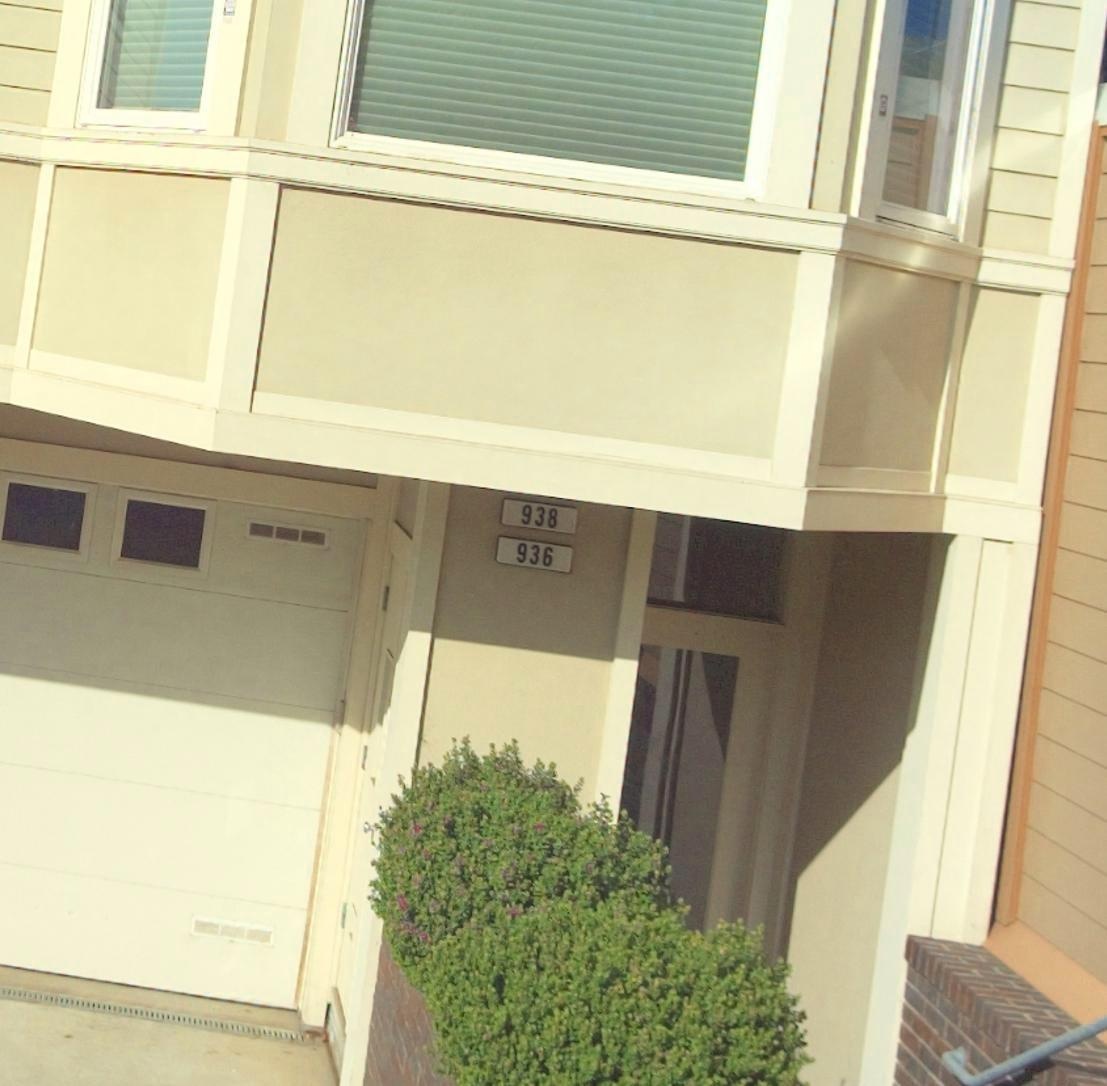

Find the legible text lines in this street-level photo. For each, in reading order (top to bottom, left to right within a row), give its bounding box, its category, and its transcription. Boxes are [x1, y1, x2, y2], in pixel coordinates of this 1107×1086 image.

[519, 503, 558, 530] StreetNumber: 938
[514, 540, 556, 569] StreetNumber: 936